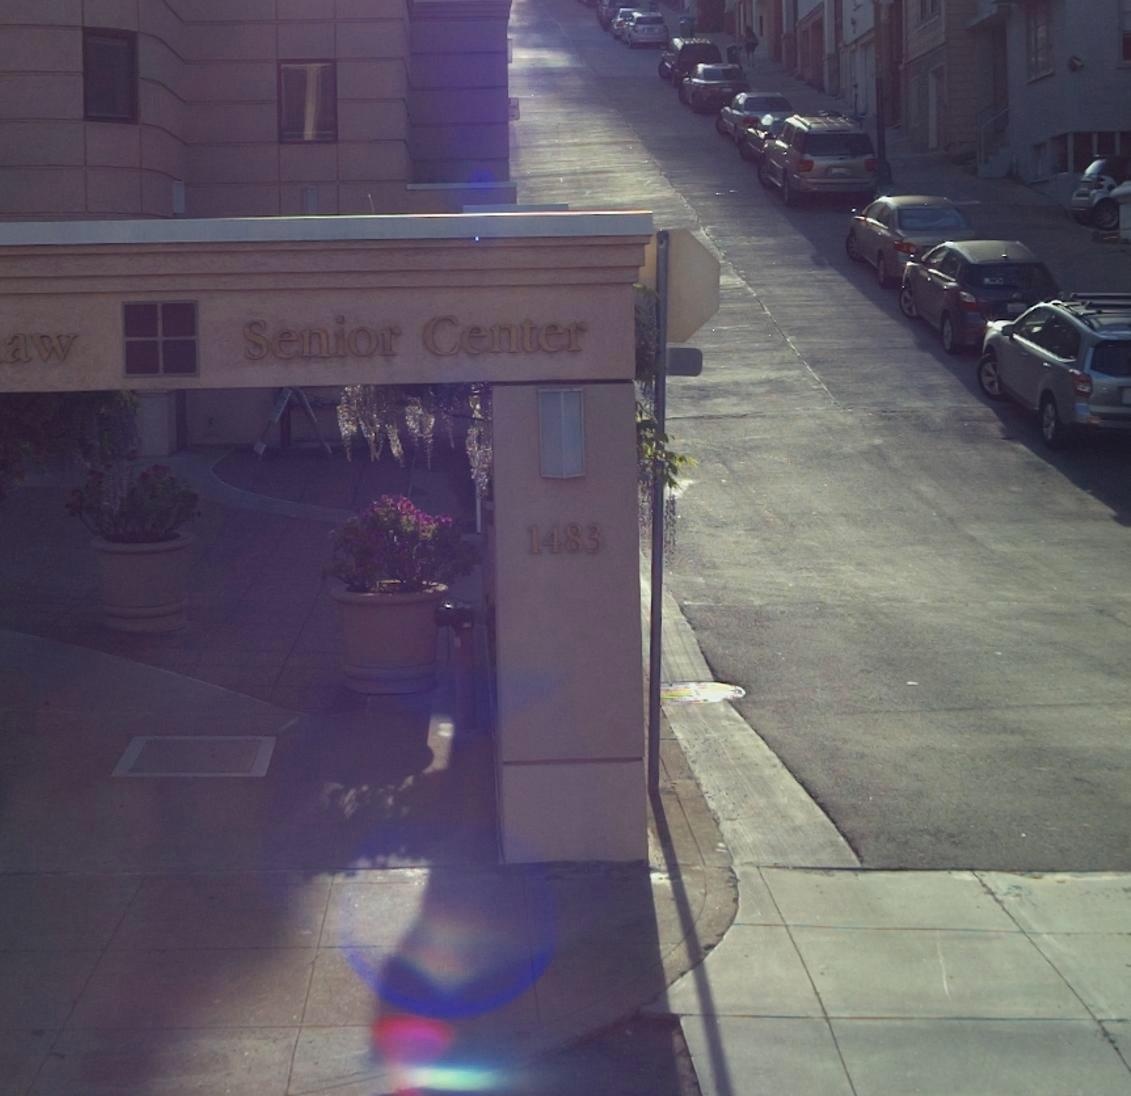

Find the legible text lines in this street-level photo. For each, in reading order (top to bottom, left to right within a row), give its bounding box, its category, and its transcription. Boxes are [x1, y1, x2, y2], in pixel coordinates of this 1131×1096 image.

[2, 330, 79, 365] BusinessName: aw
[240, 312, 591, 362] BusinessName: Senior Center
[525, 520, 606, 557] StreetNumber: 1483